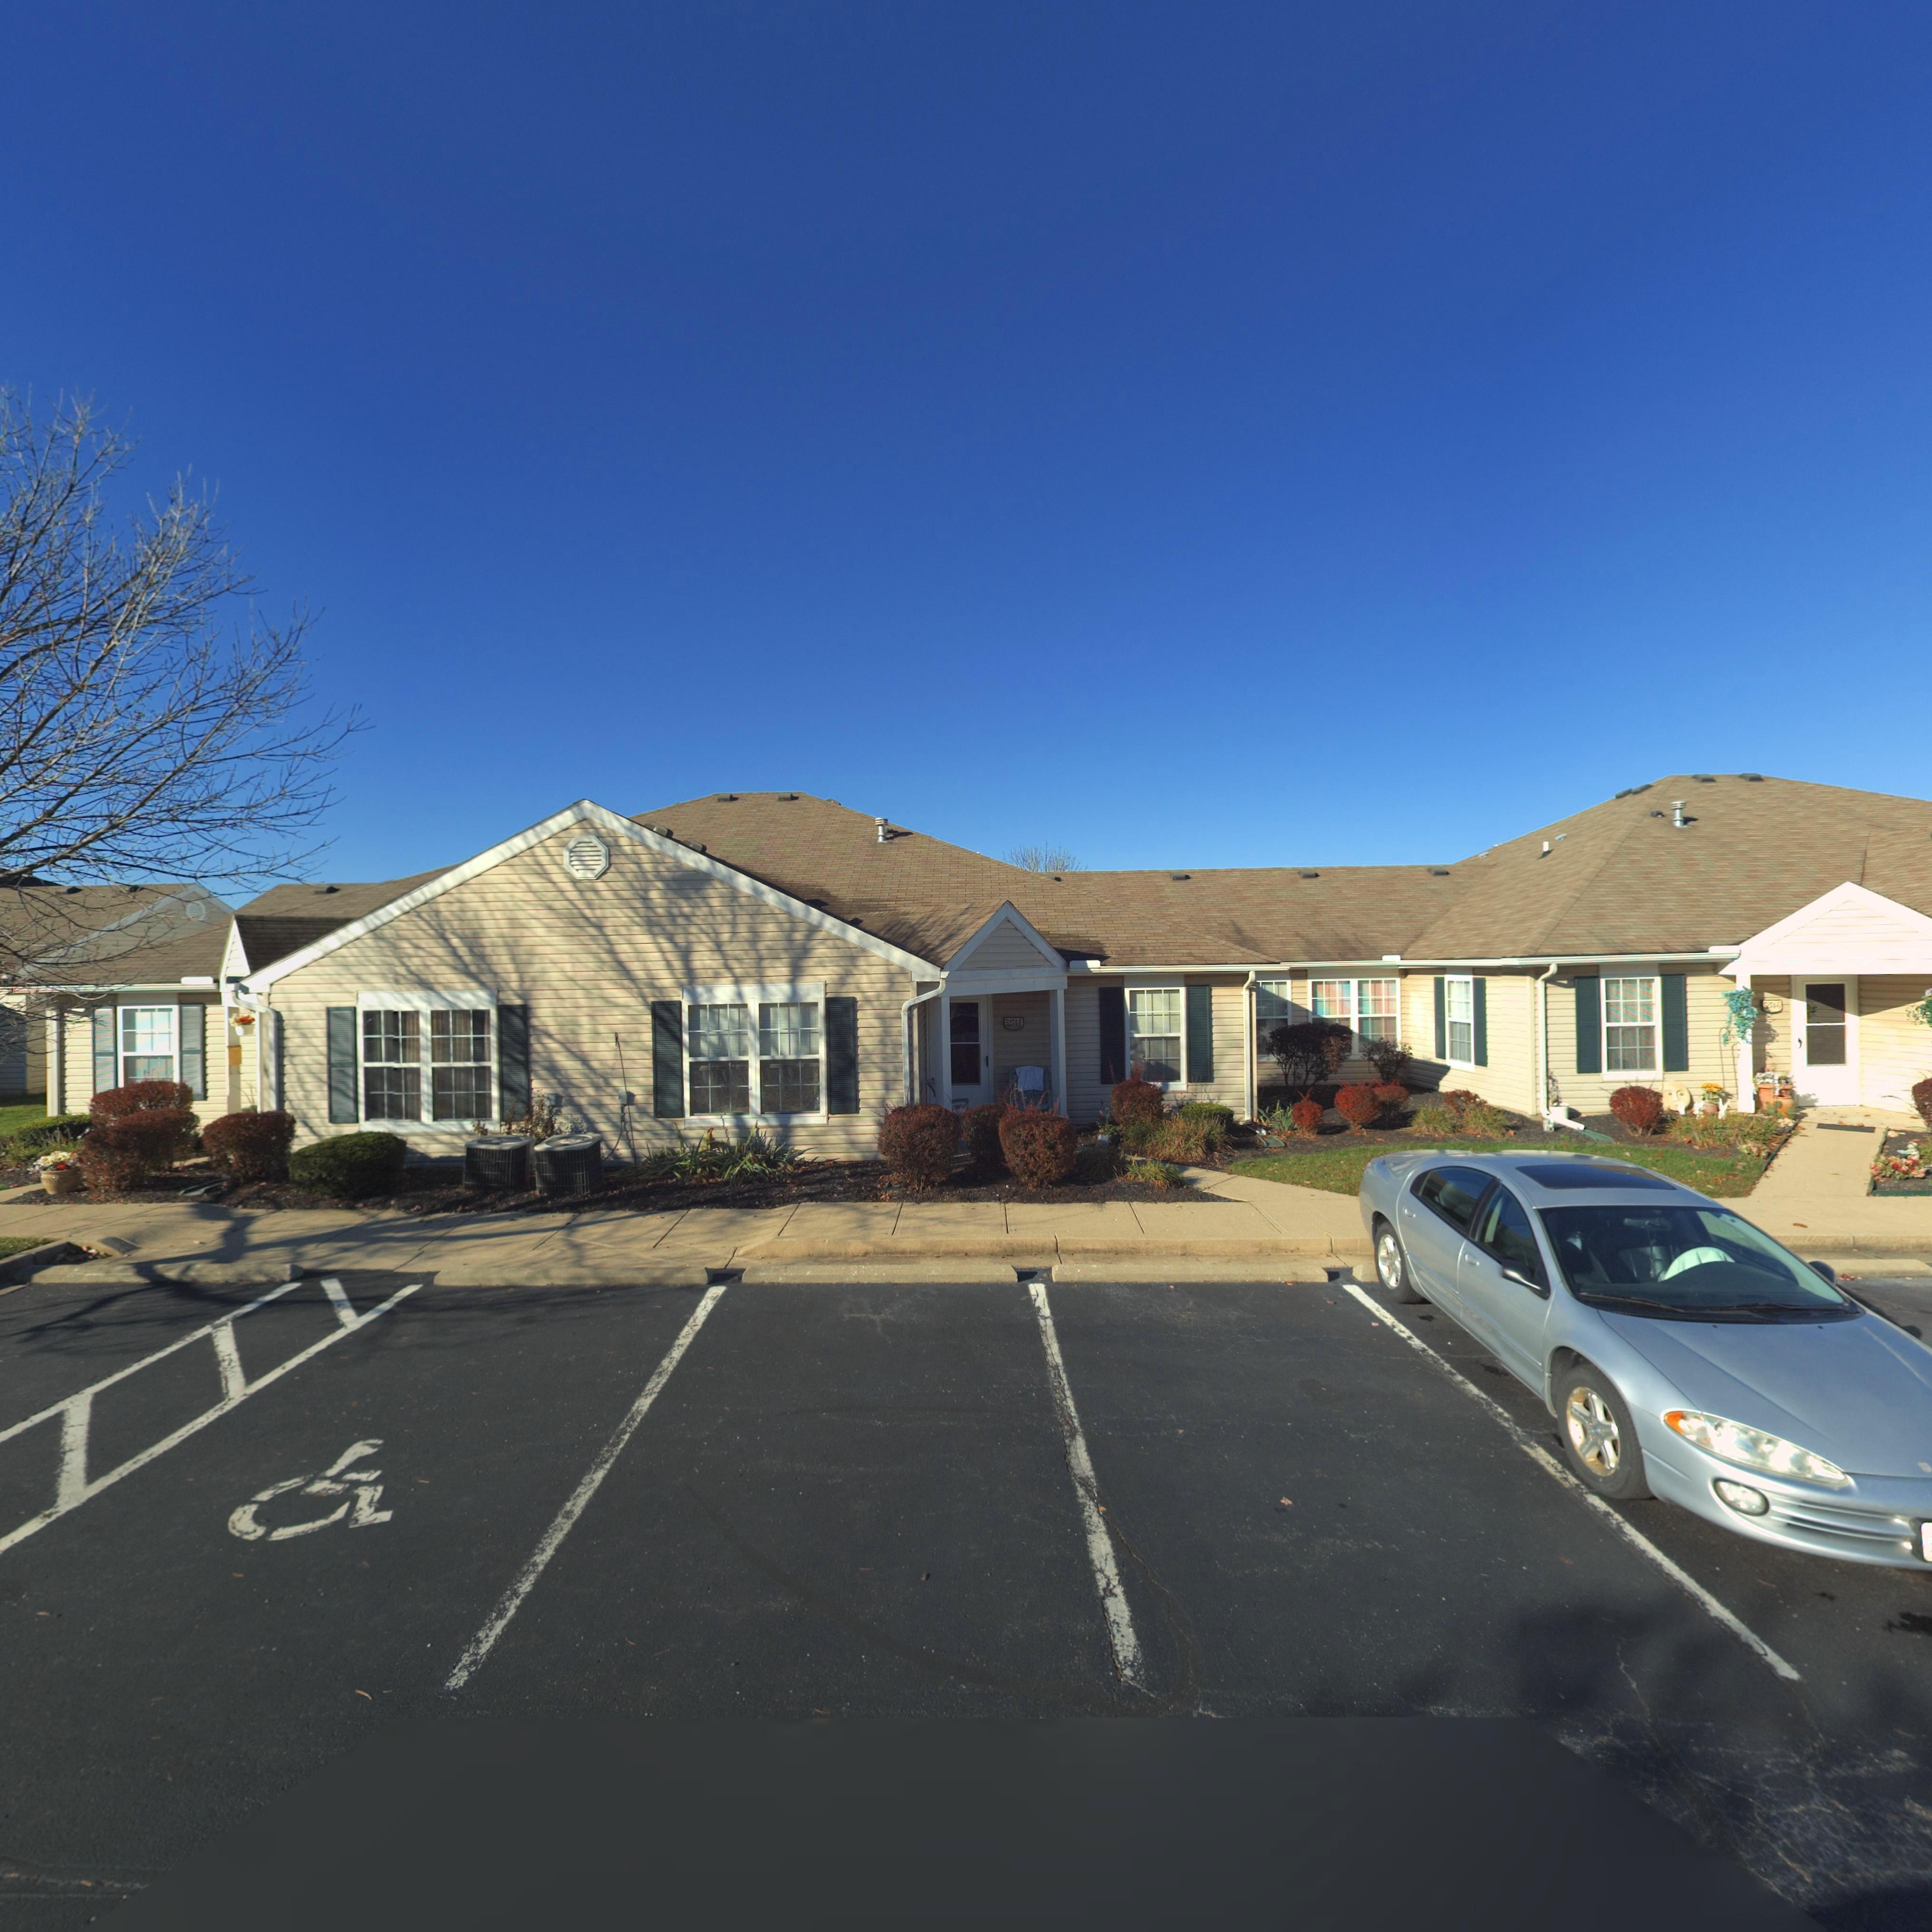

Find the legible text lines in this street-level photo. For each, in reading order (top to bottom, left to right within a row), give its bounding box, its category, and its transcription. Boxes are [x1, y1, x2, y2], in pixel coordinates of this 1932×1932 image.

[1005, 1018, 1023, 1027] StreetNumber: 5274-*